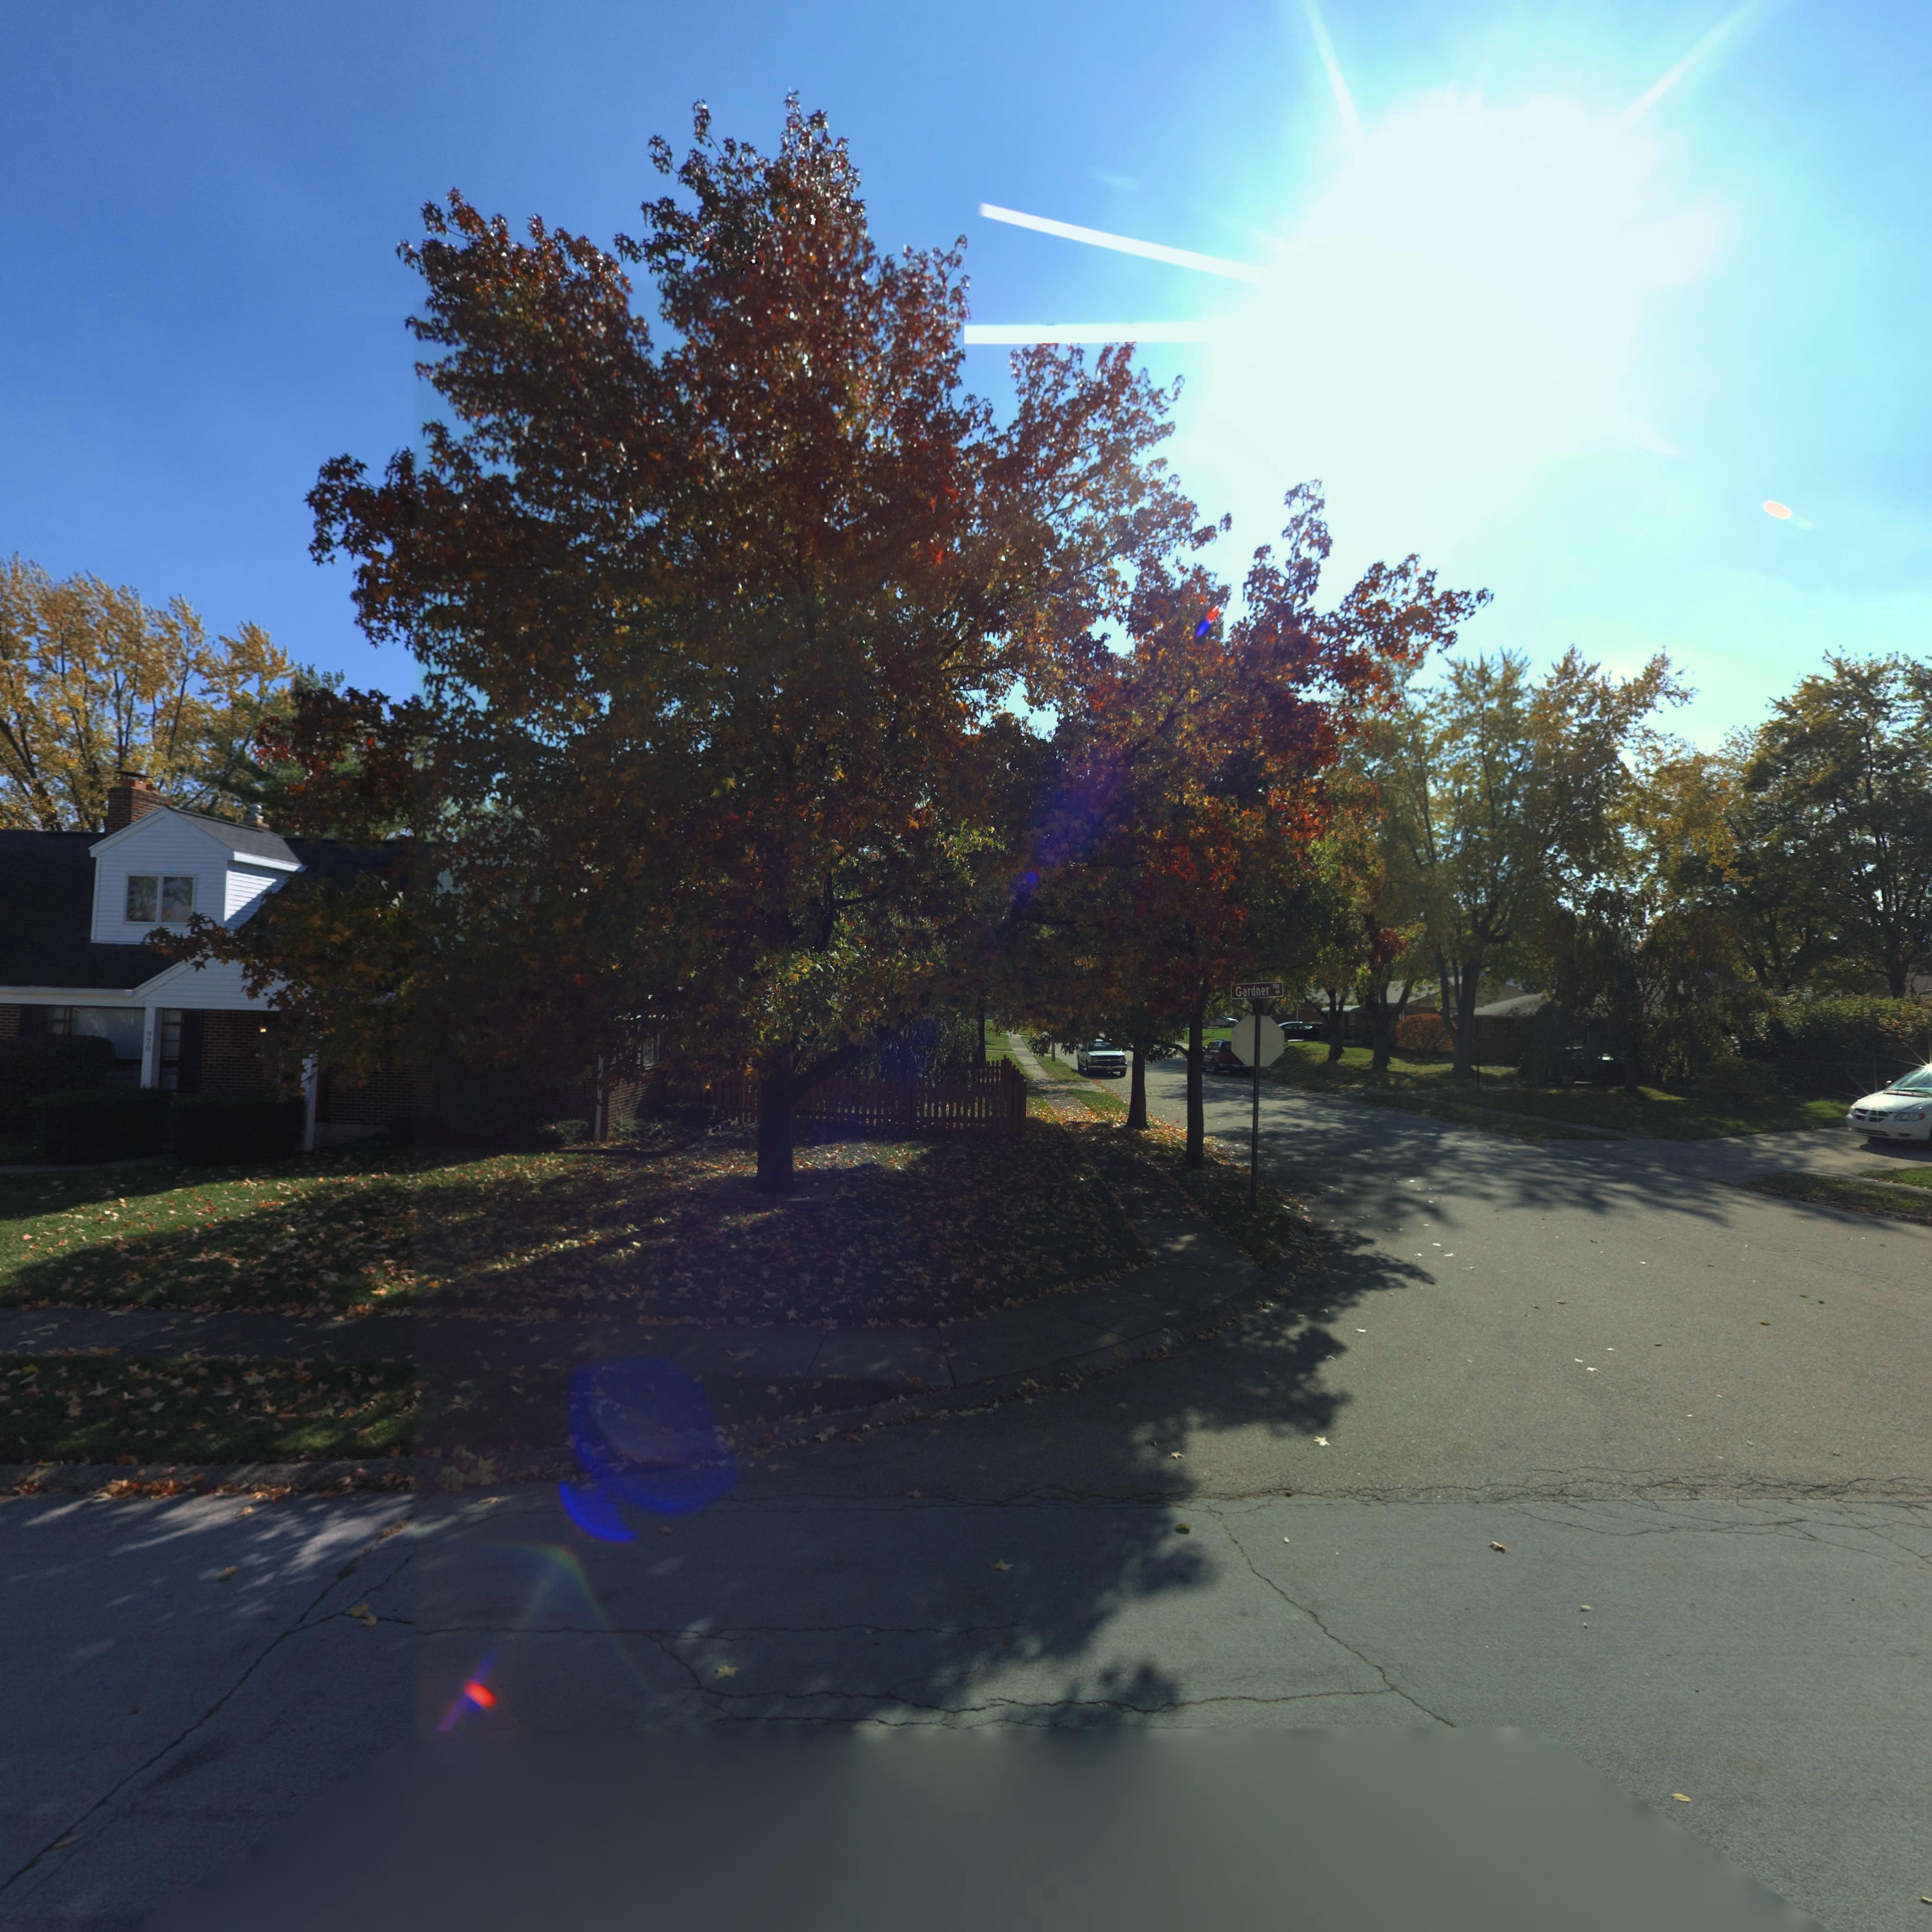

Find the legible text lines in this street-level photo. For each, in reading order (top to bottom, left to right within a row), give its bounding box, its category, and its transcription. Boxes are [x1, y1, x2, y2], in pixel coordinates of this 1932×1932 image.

[1235, 983, 1280, 998] StreetName: Gardner Rd
[145, 1030, 152, 1052] StreetNumber: 970